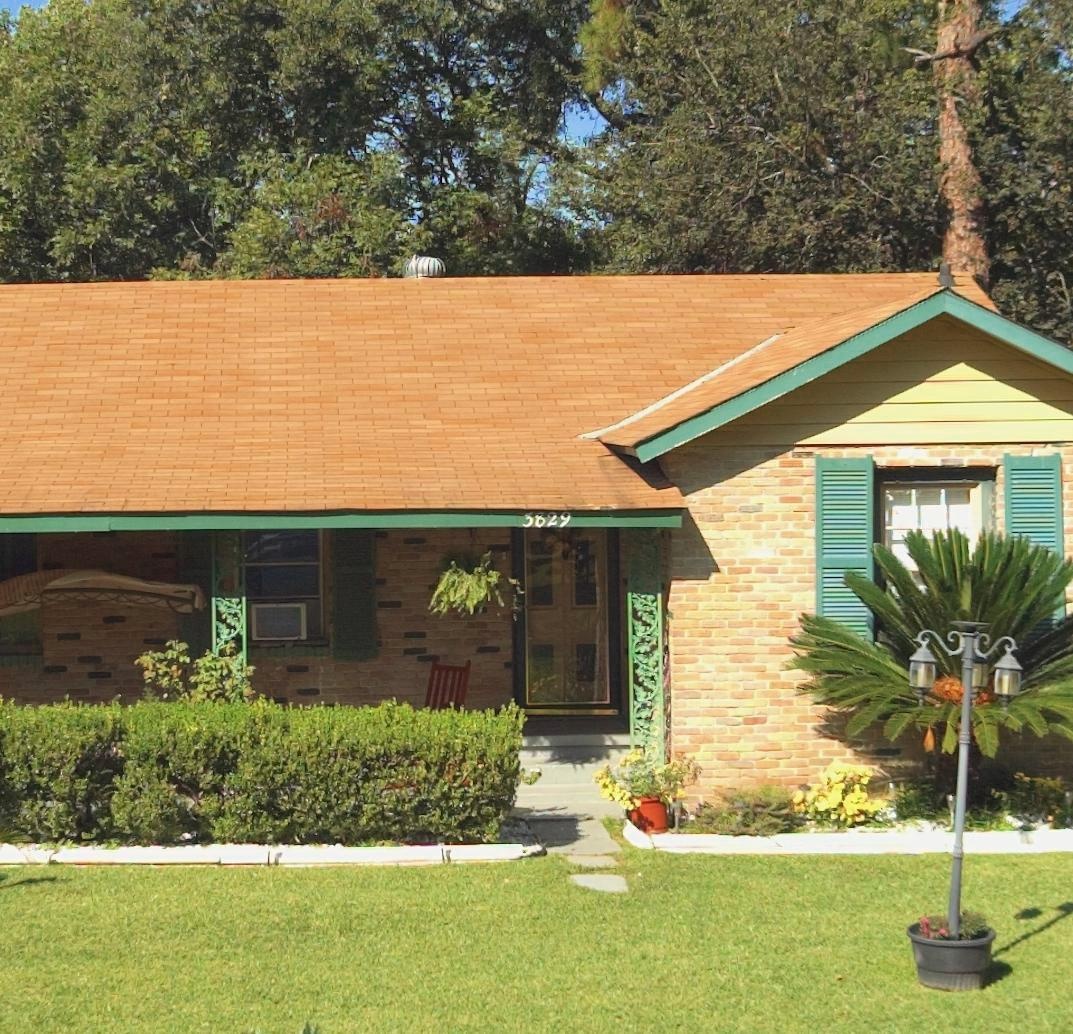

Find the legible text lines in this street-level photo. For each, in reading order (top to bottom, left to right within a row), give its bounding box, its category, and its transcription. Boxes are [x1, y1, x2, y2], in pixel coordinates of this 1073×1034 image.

[521, 510, 572, 529] StreetNumber: 3829